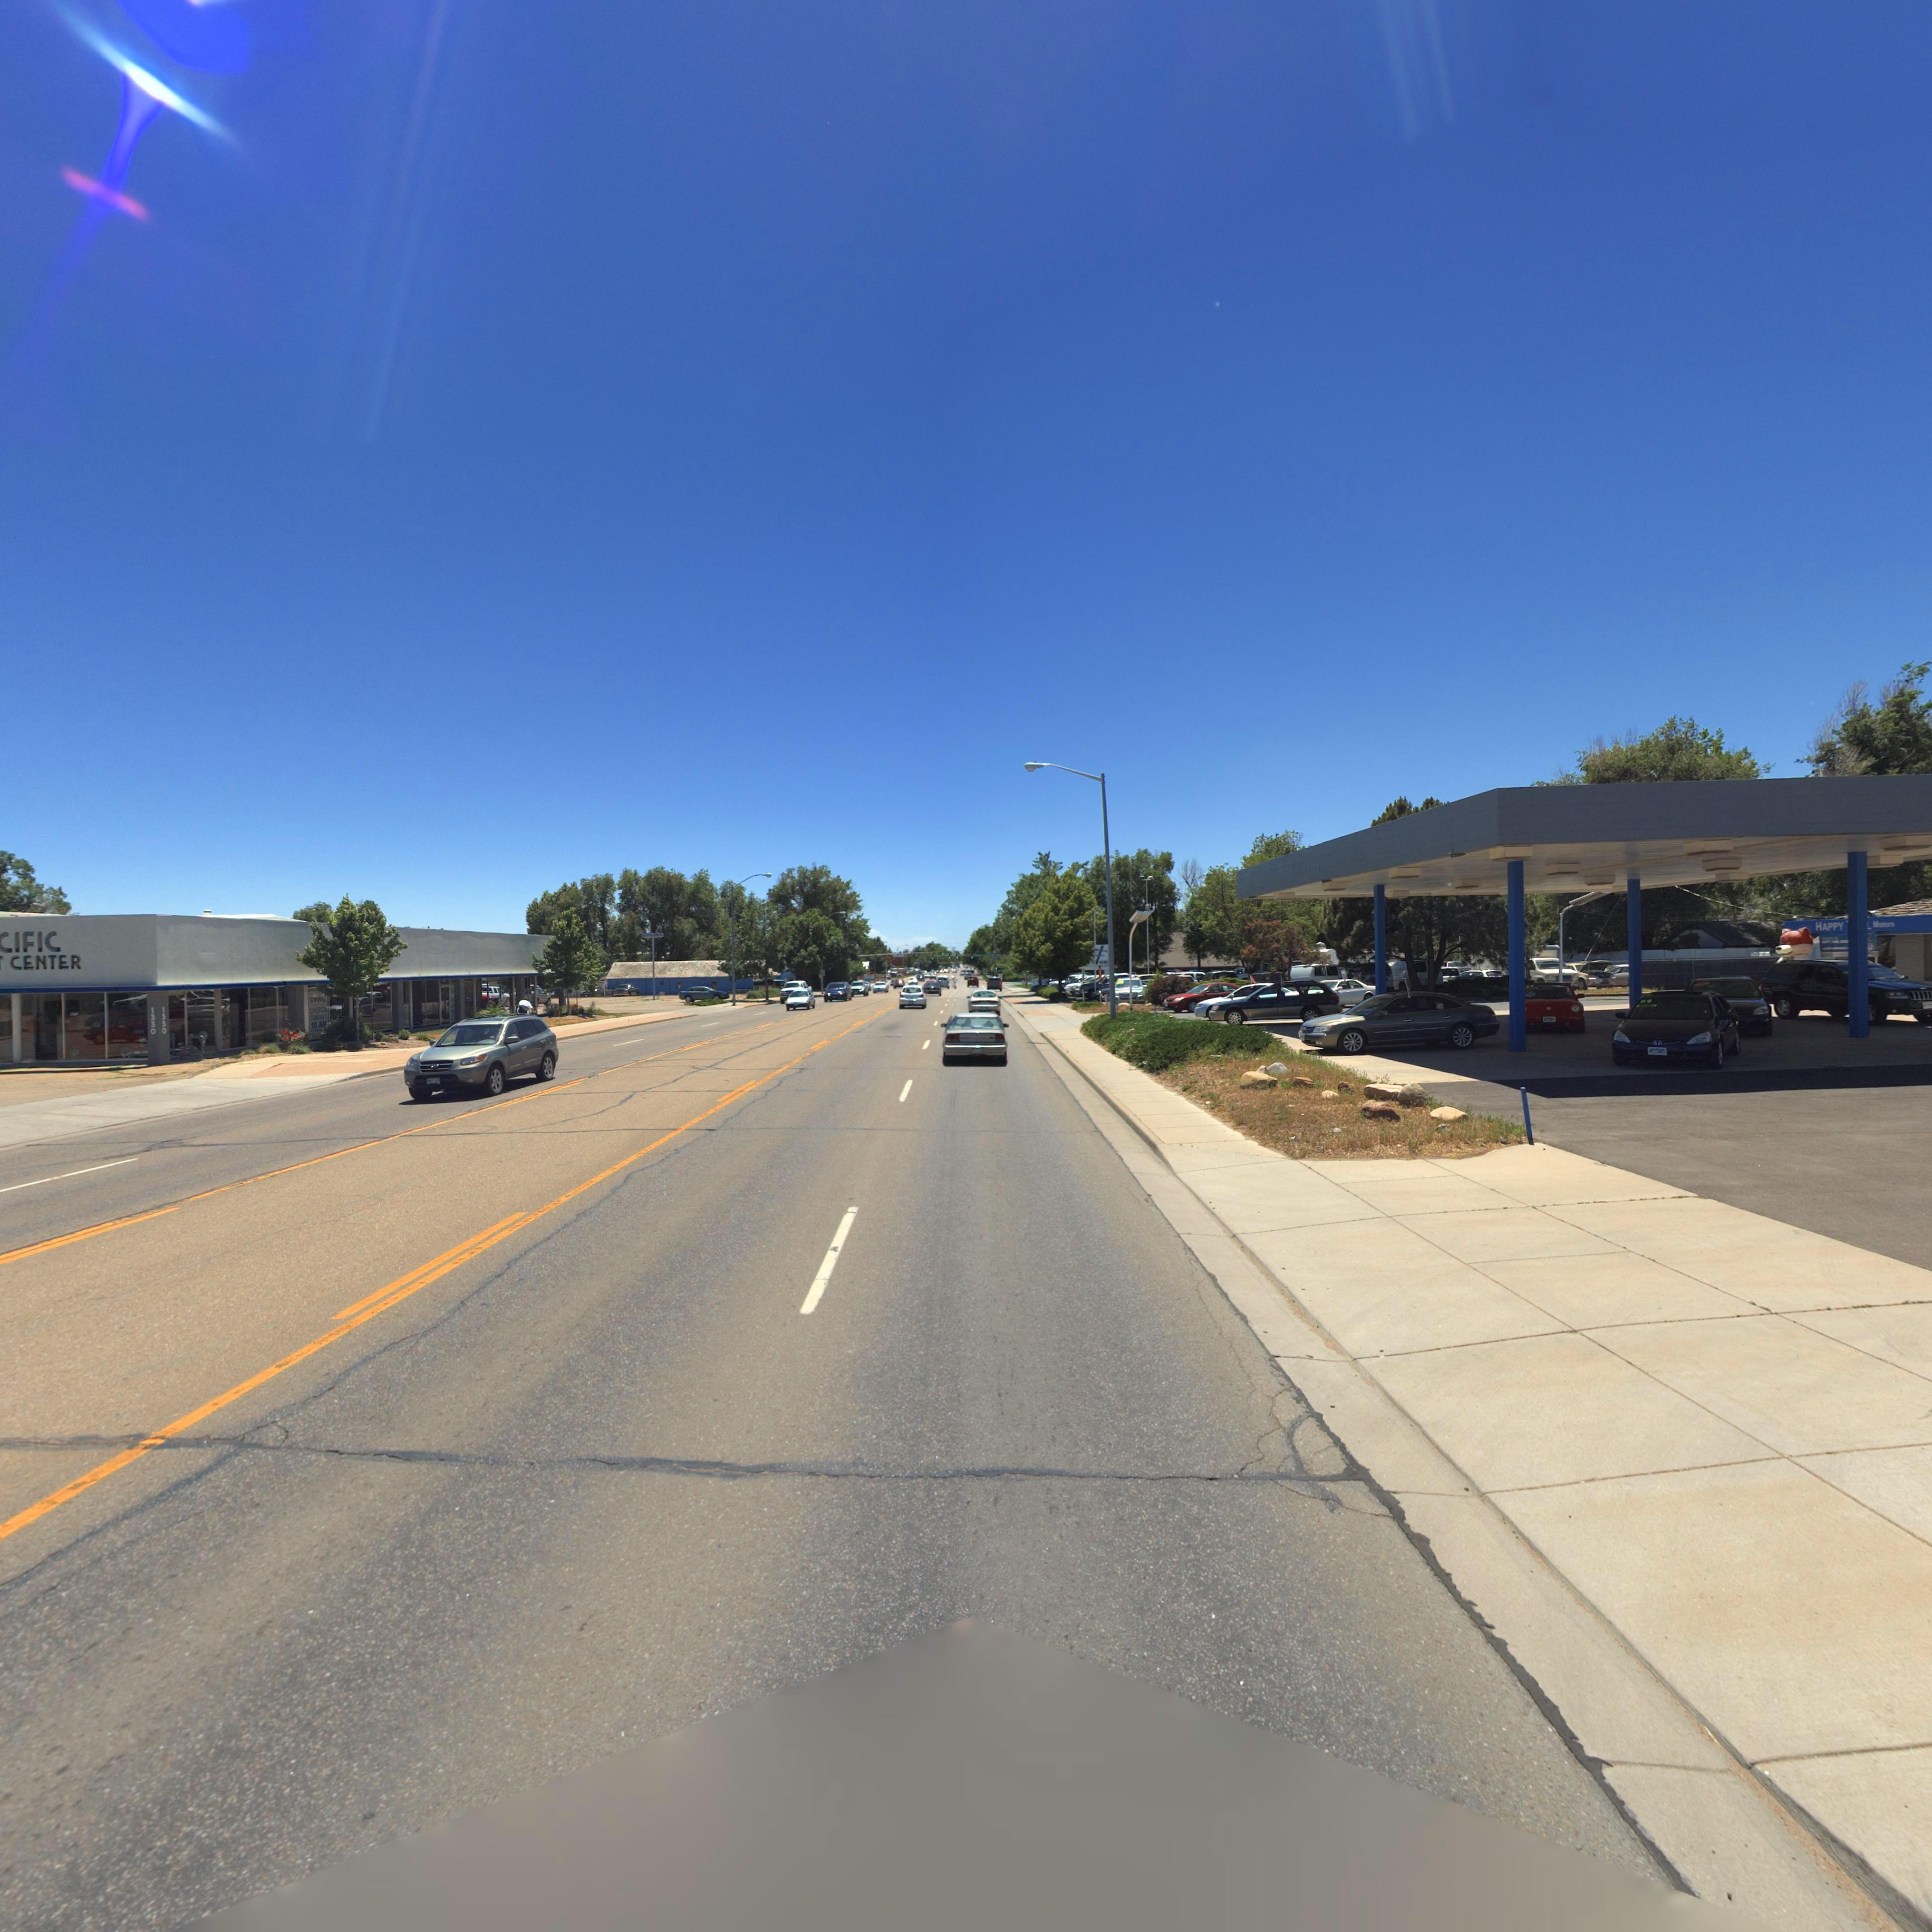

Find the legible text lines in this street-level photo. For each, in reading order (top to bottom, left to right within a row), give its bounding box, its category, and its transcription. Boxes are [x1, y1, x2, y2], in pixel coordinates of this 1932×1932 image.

[1815, 921, 1845, 931] BusinessName: HAPPY
[1872, 919, 1895, 927] BusinessName: MOTORS
[14, 929, 61, 953] BusinessName: IFIC
[9, 953, 82, 970] BusinessName: CENTER
[307, 994, 327, 1004] StreetNumber: REVER
[149, 1006, 156, 1034] StreetNumber: 1330
[160, 1005, 167, 1034] StreetNumber: 1330